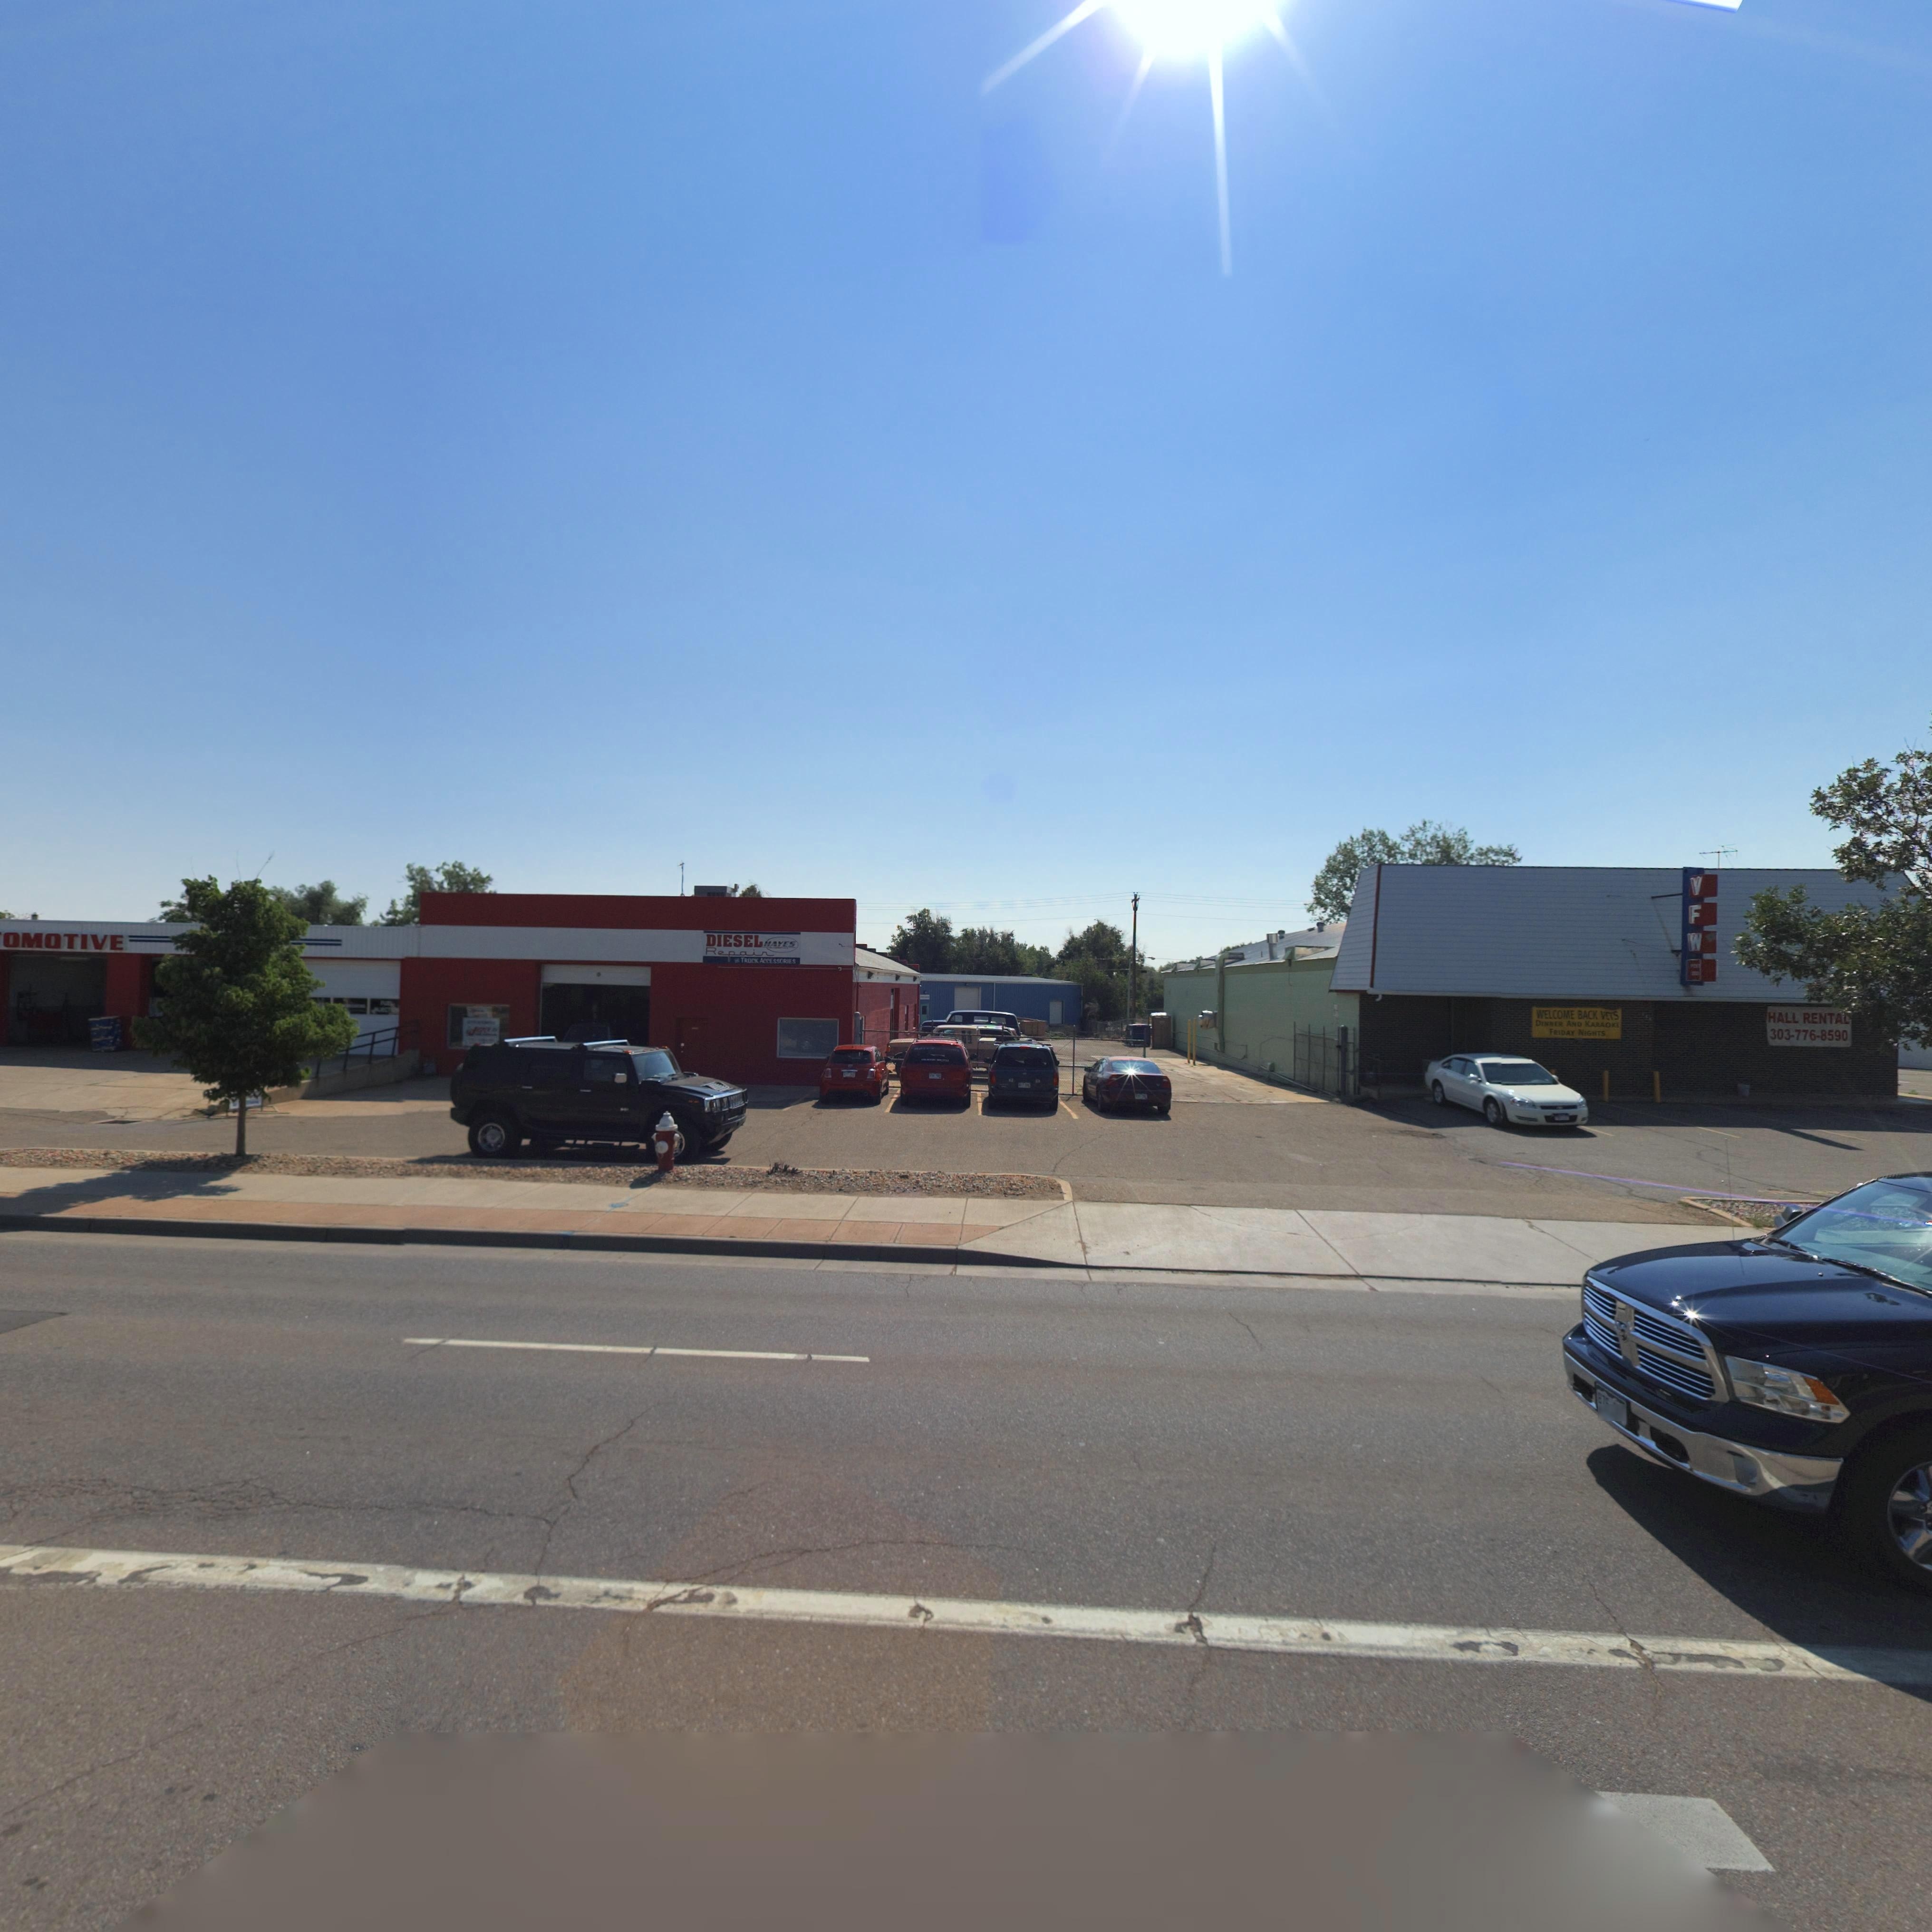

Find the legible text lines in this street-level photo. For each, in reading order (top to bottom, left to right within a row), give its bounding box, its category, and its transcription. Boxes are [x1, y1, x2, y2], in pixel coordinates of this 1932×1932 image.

[1686, 874, 1702, 953] BusinessName: VFW